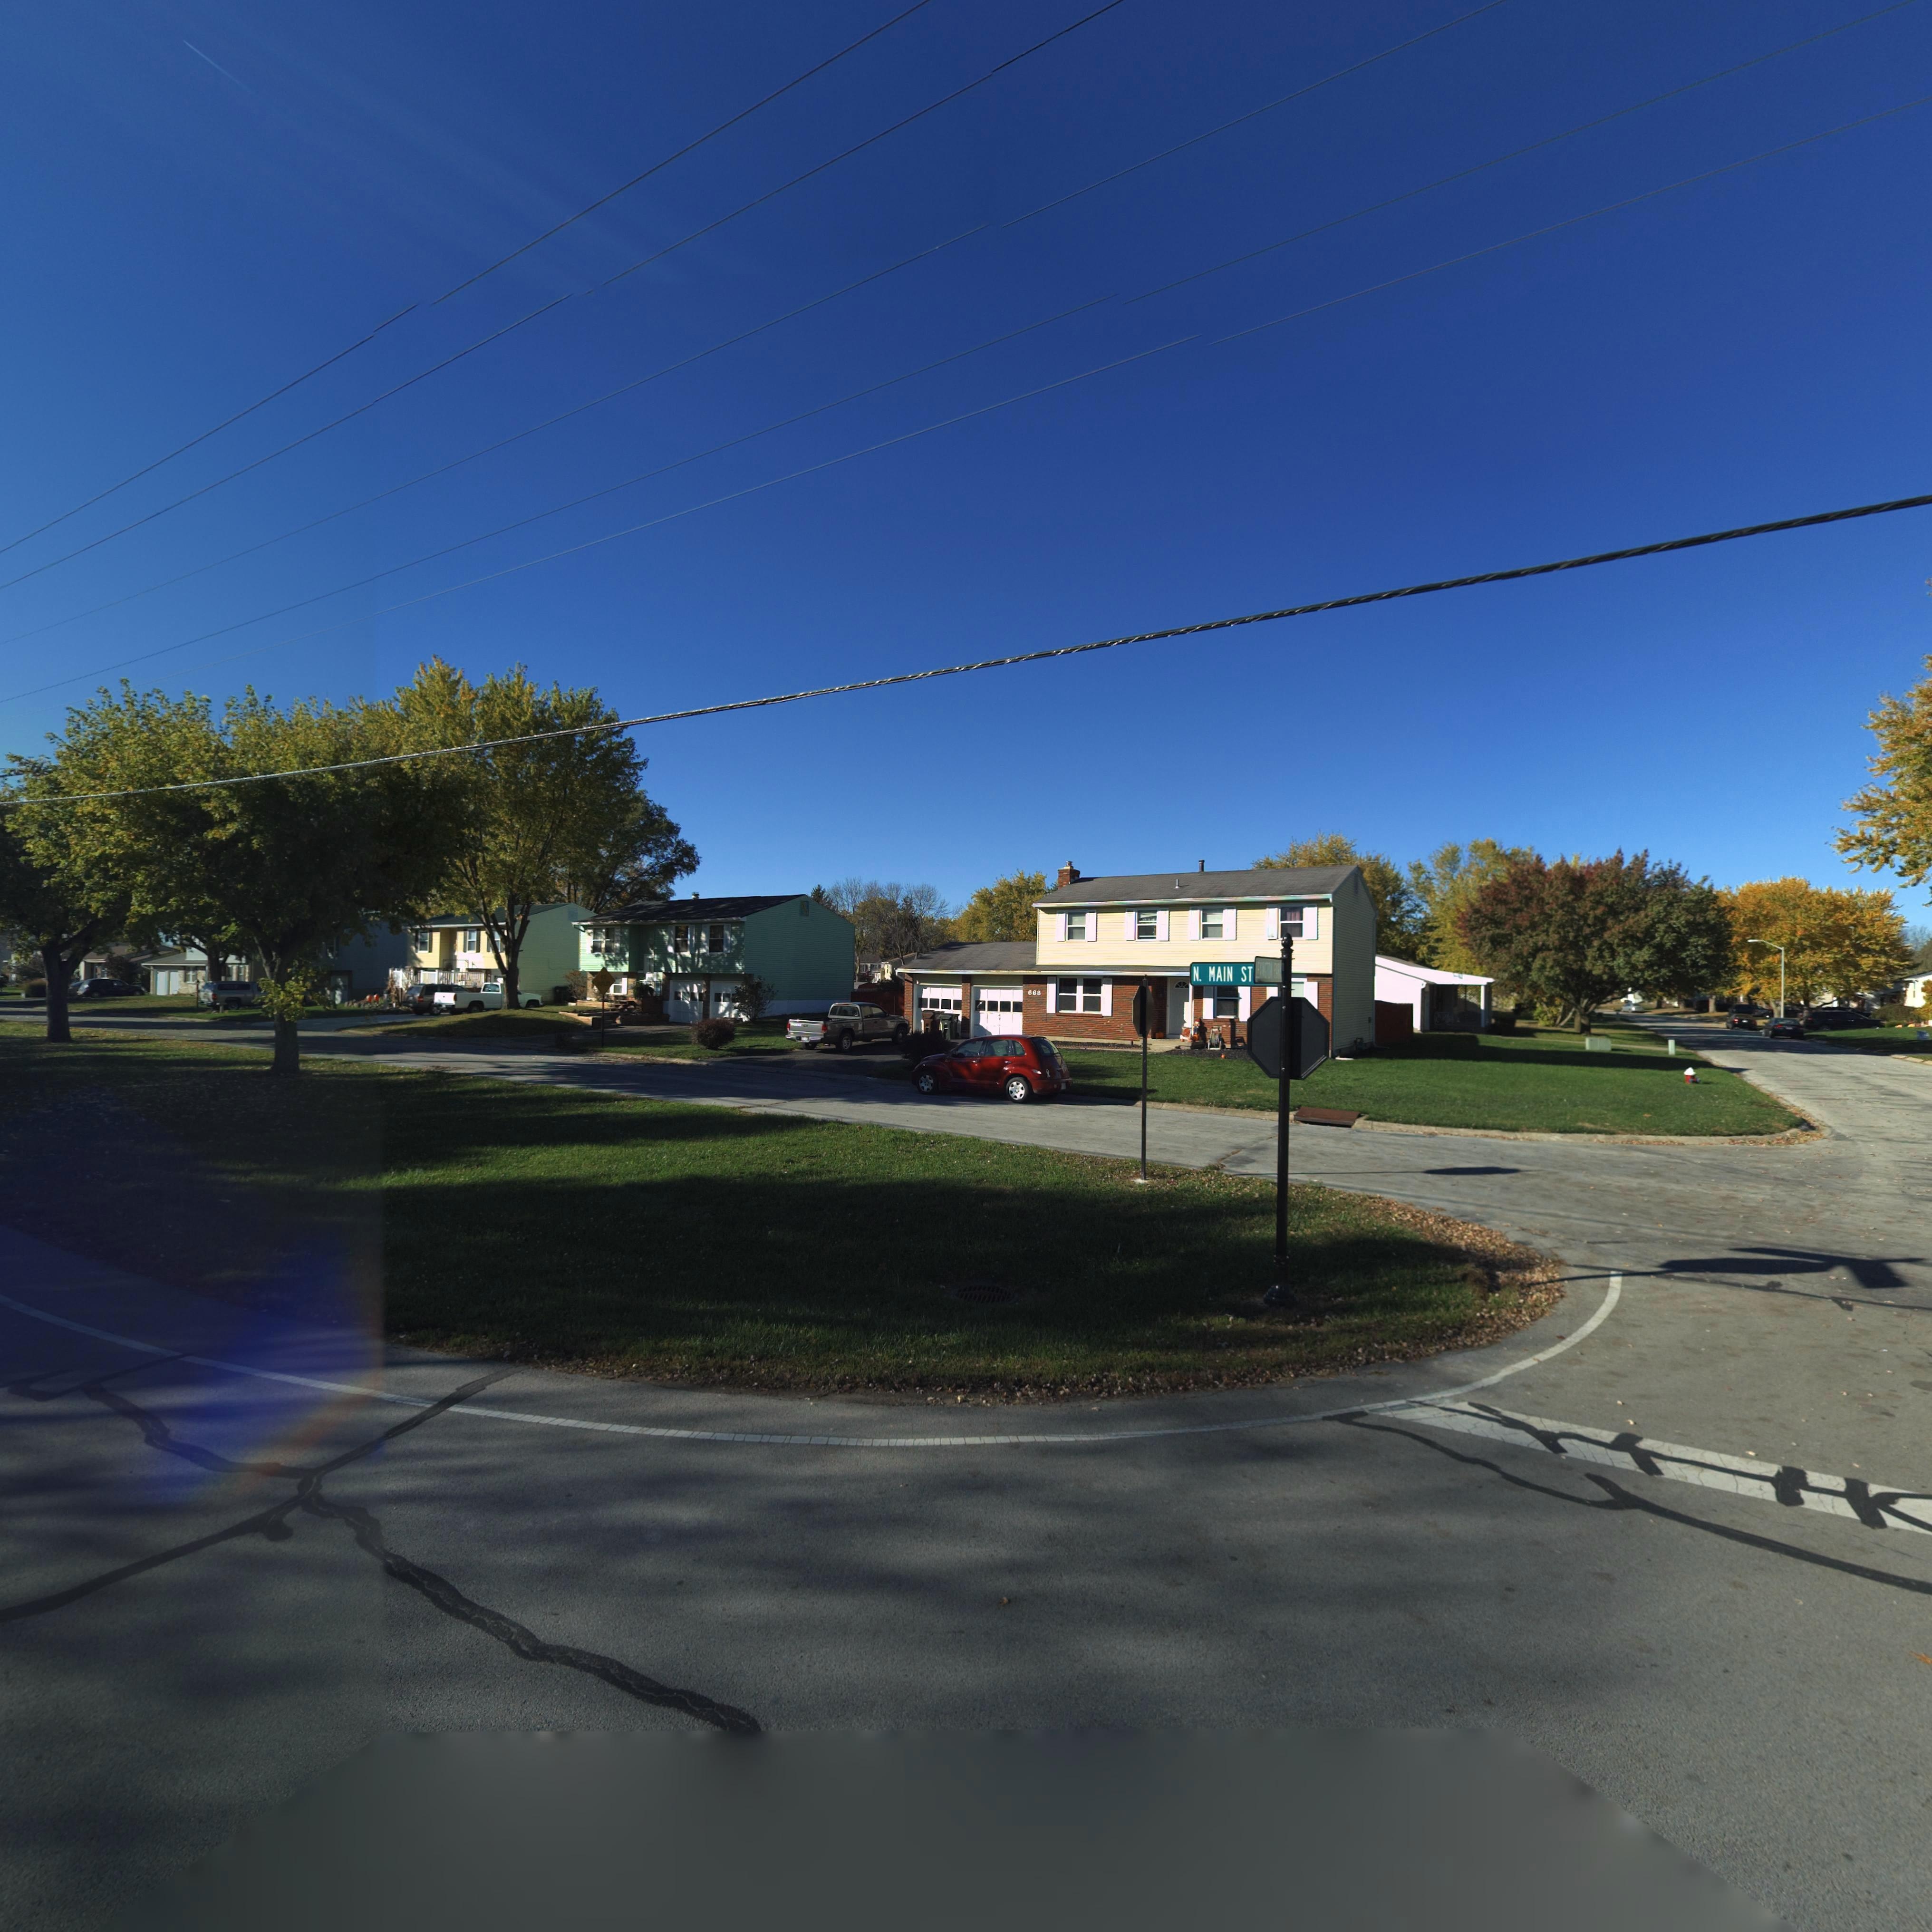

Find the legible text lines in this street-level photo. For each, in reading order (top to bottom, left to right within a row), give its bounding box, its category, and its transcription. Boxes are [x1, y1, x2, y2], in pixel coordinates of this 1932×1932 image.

[1191, 965, 1253, 984] None: N. MAIN ST
[1027, 990, 1041, 996] StreetNumber: 668